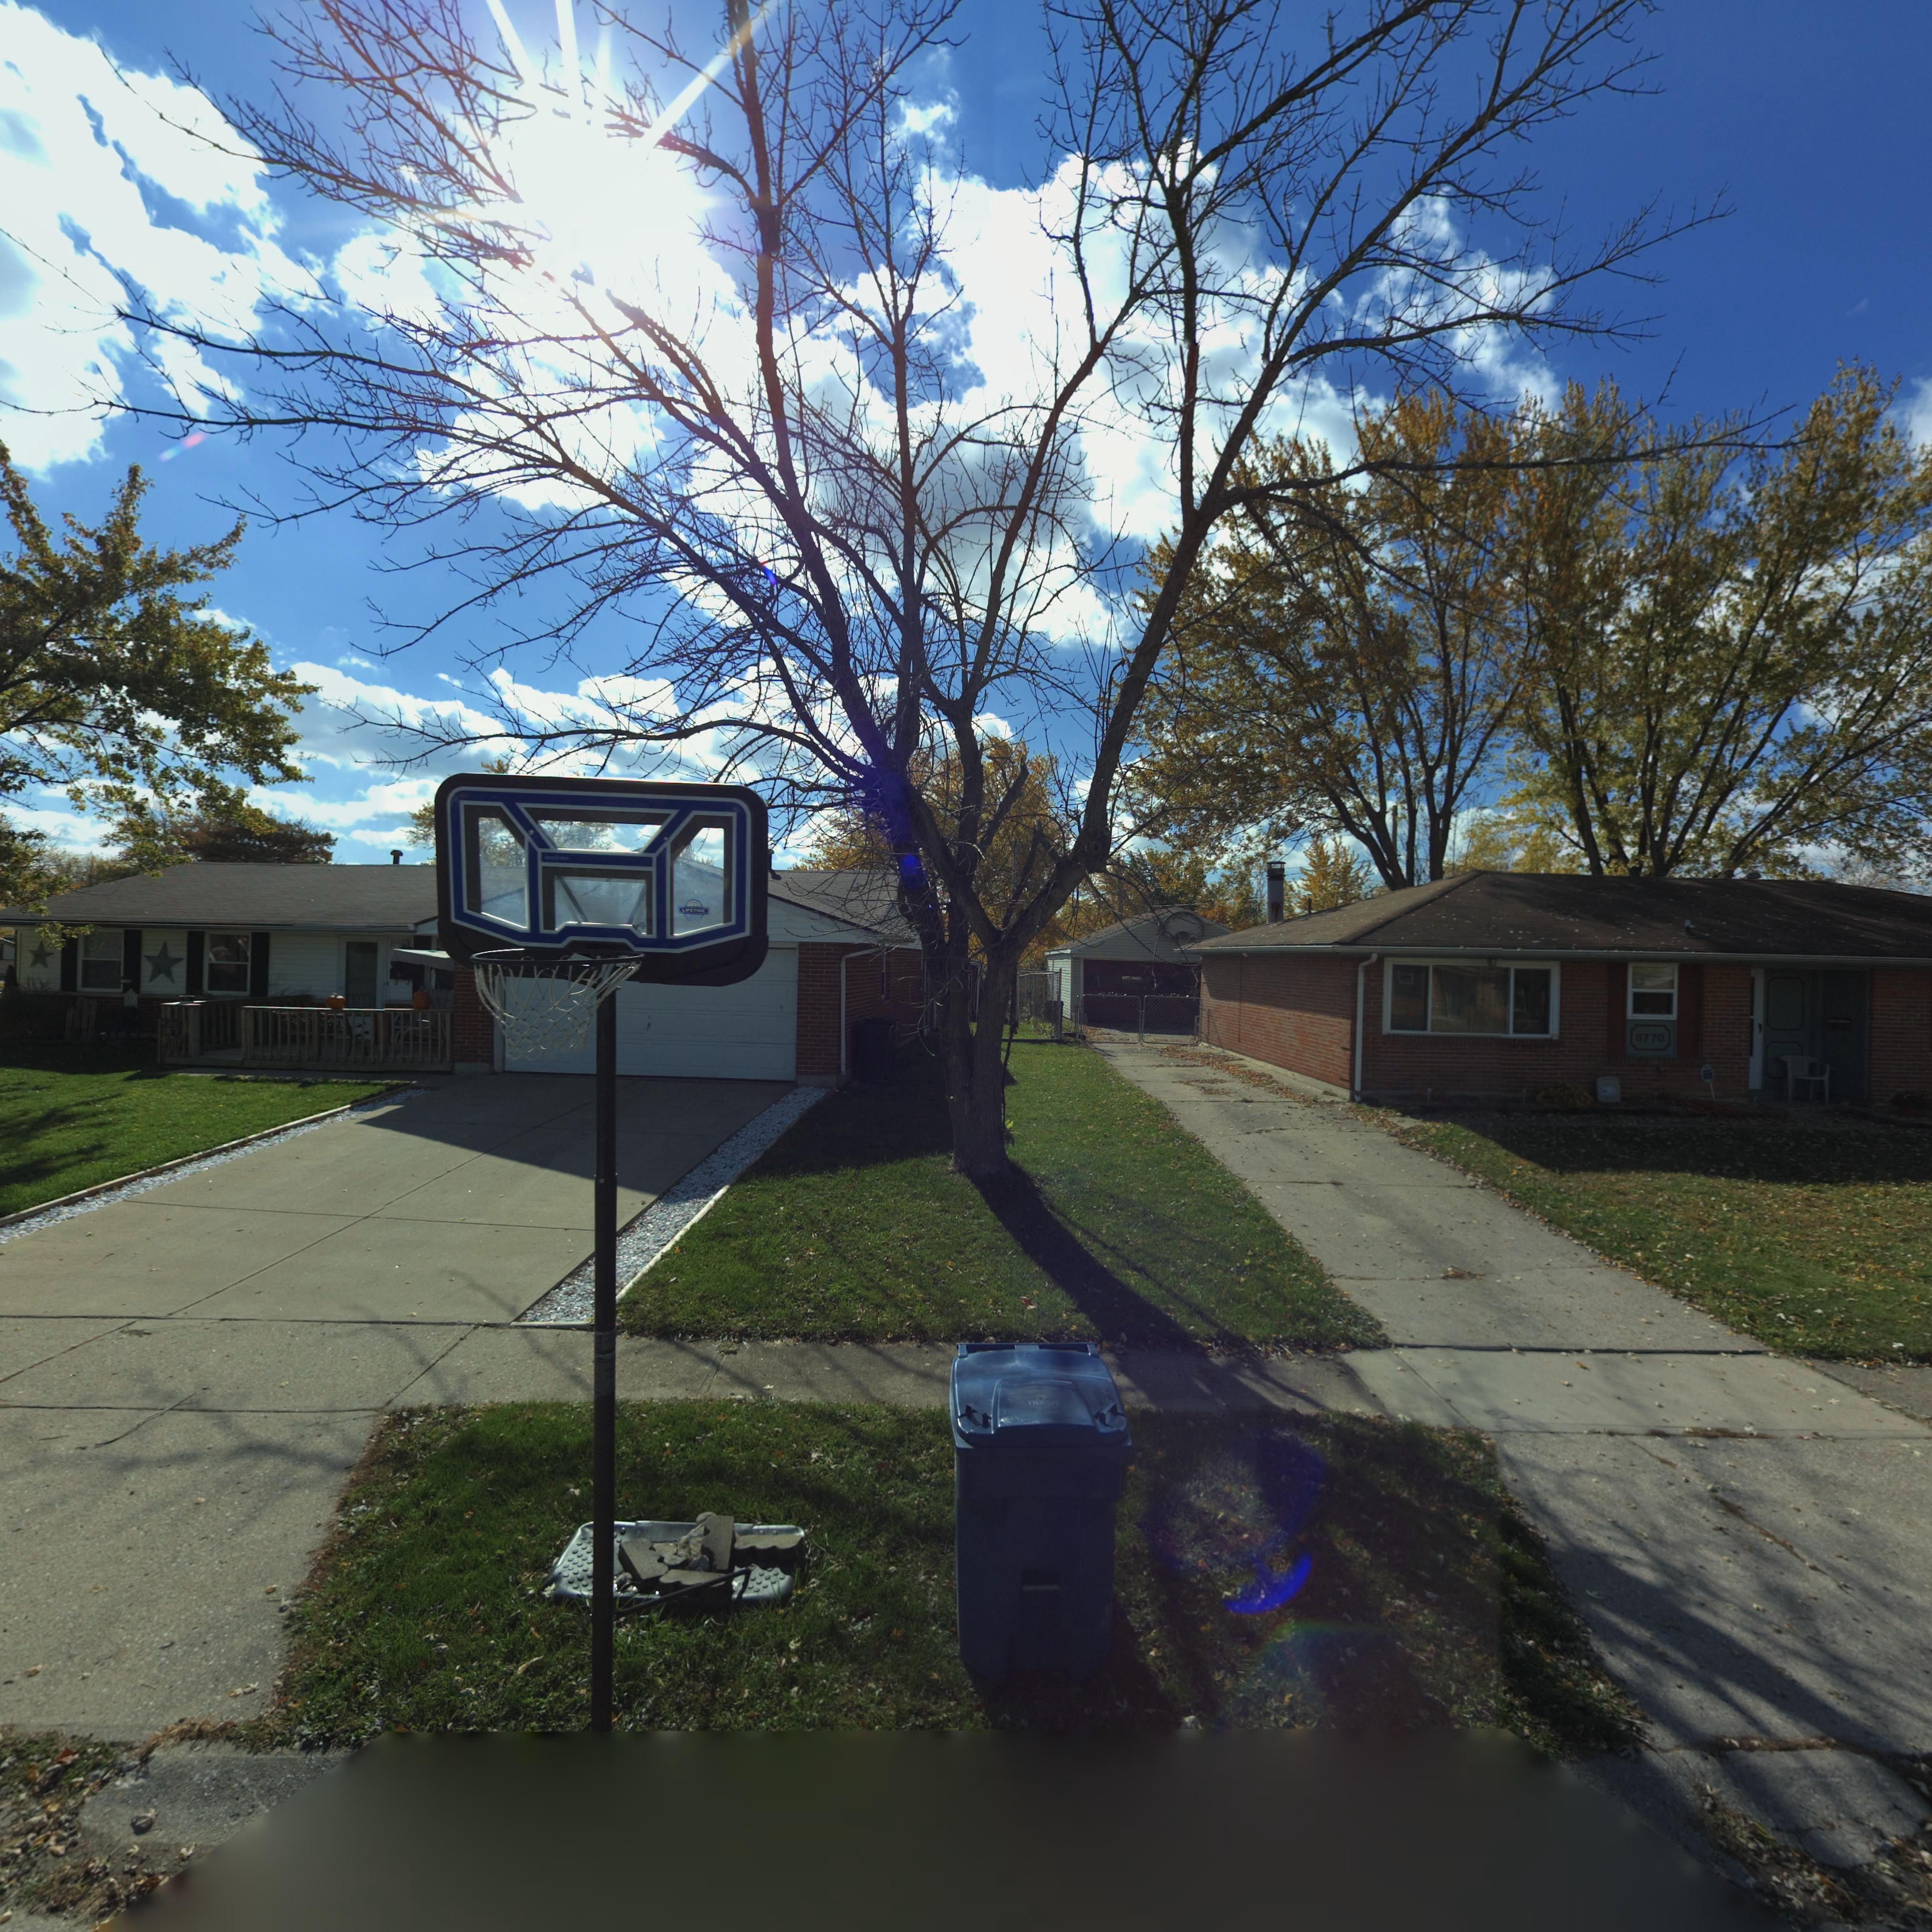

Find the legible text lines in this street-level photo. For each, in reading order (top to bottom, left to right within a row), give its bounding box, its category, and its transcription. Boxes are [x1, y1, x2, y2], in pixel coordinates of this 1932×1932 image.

[1634, 1033, 1665, 1043] StreetNumber: 6770